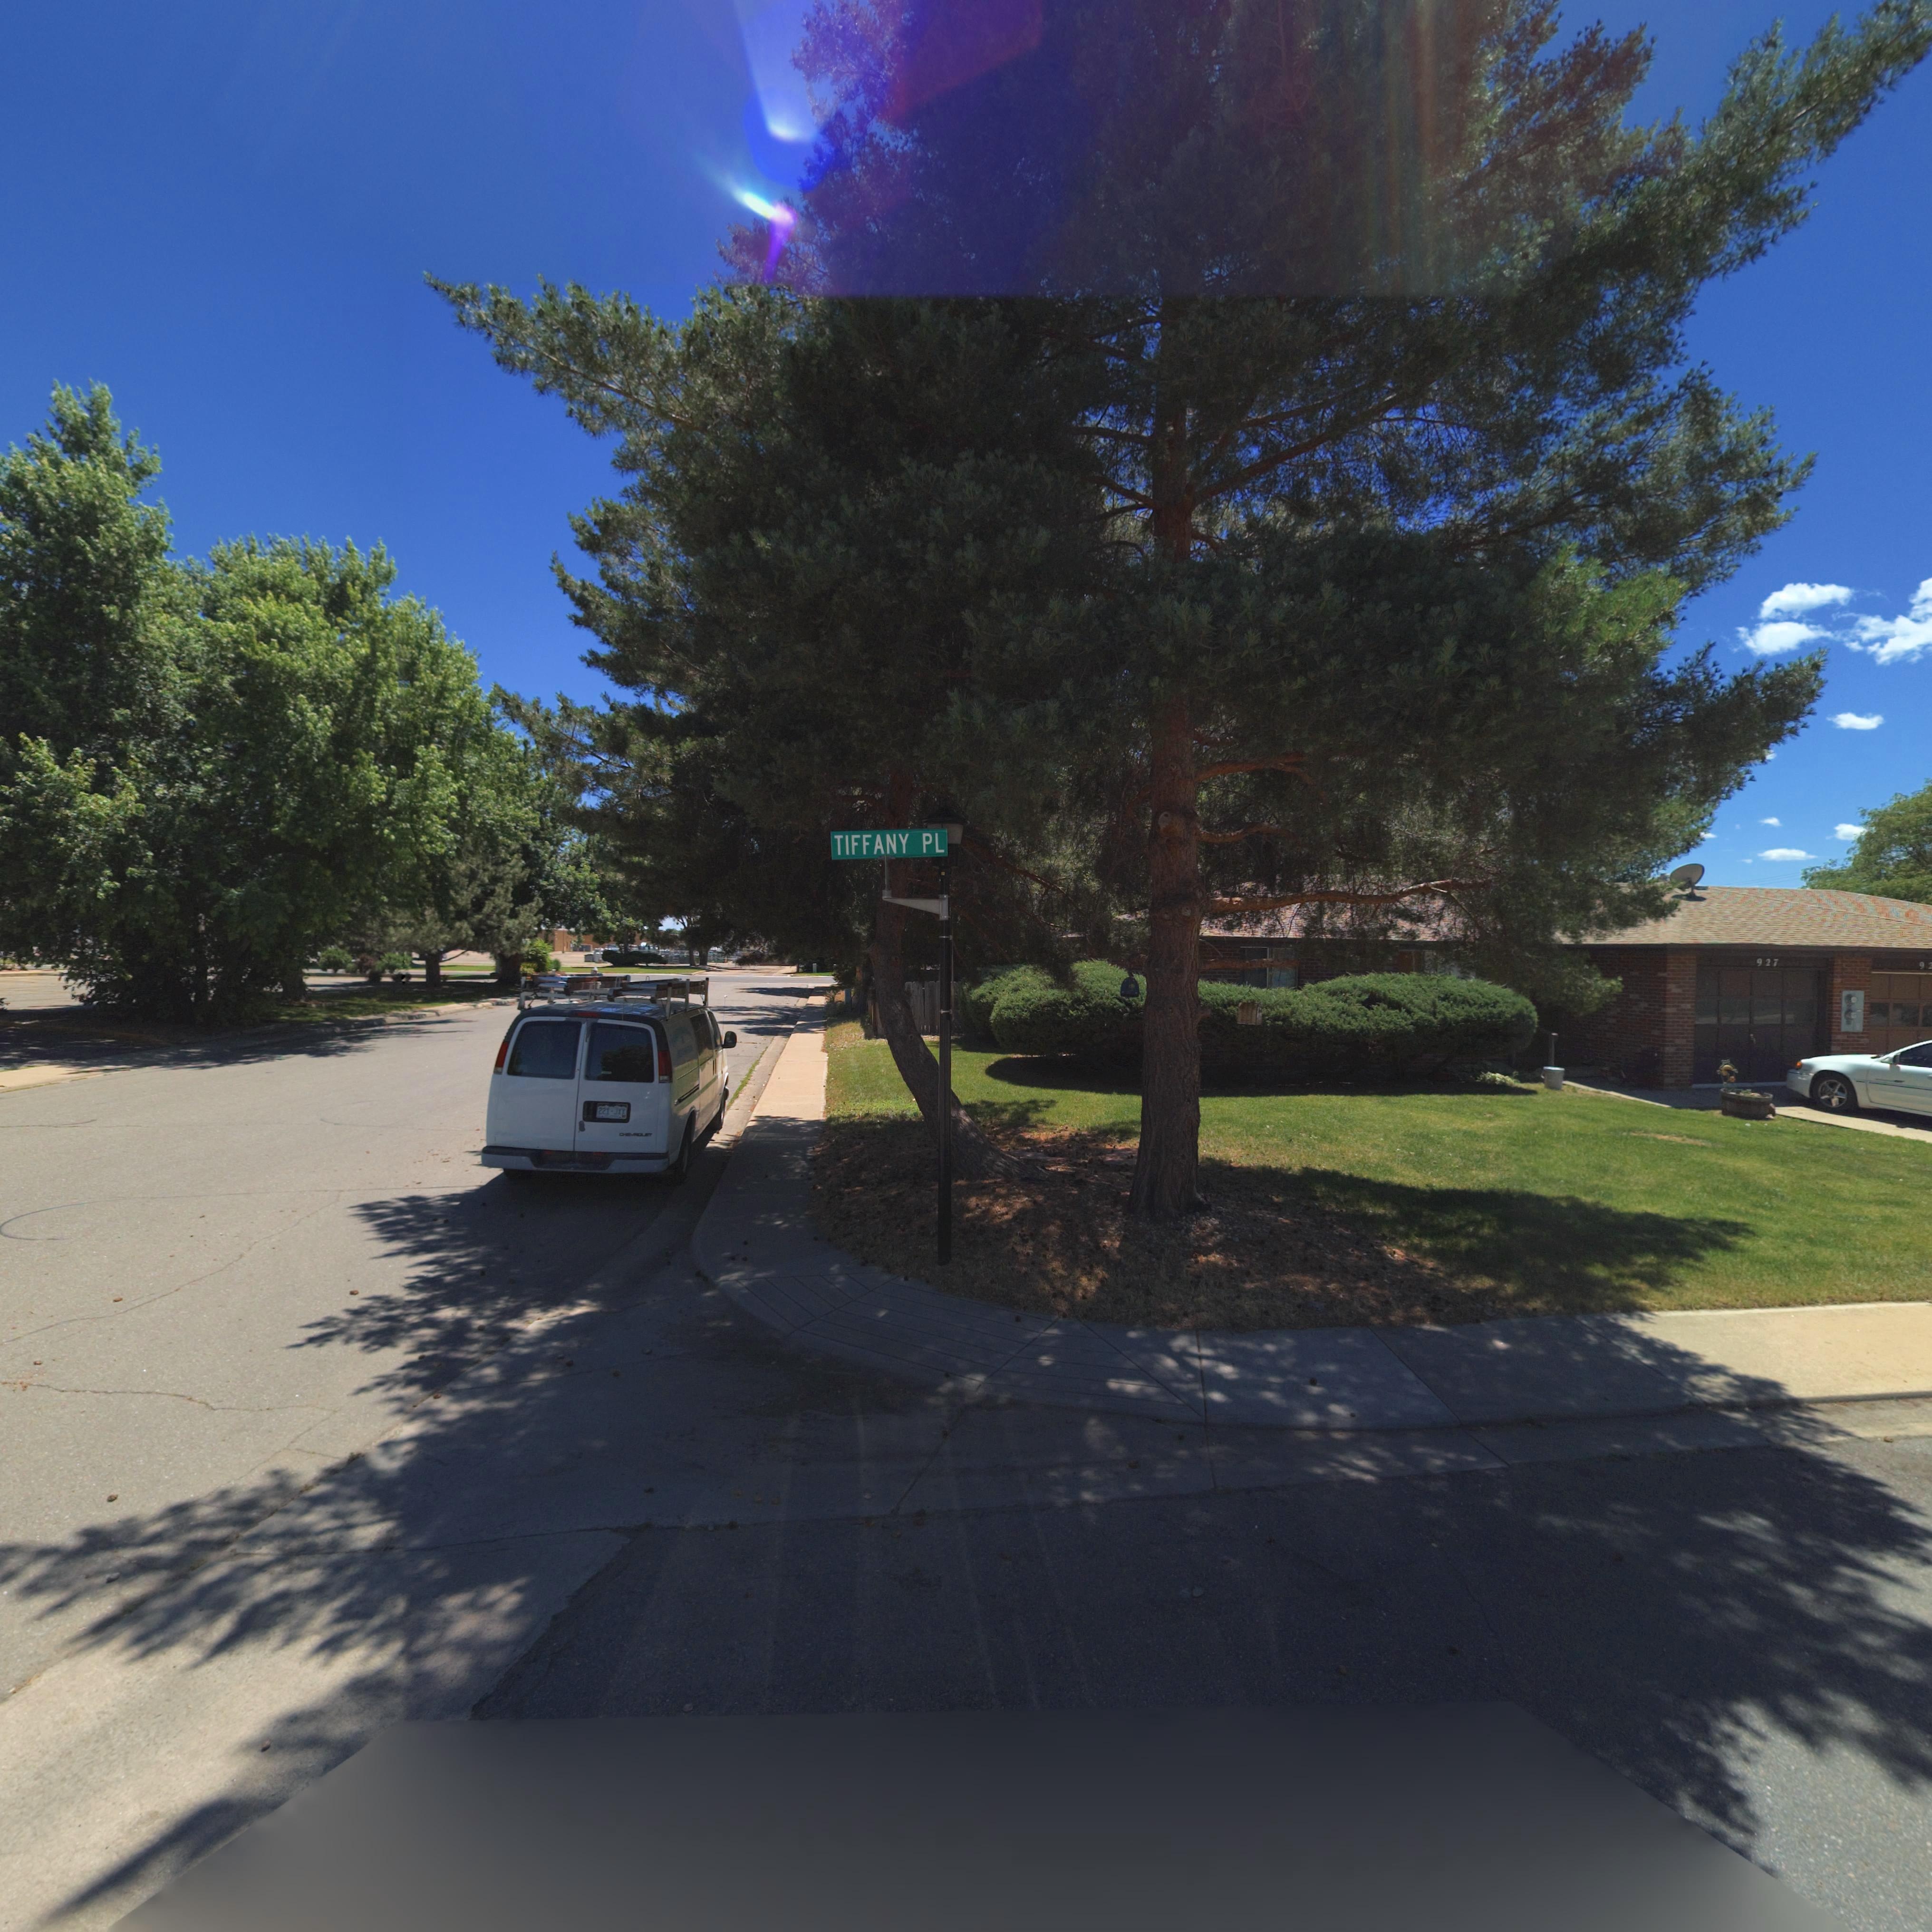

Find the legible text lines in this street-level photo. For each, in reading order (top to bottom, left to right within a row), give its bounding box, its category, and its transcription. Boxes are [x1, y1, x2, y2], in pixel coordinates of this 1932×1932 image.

[833, 832, 945, 855] StreetName: TIFFANY PL
[1756, 958, 1779, 966] StreetNumber: 927
[1919, 961, 1925, 969] StreetNumber: 9